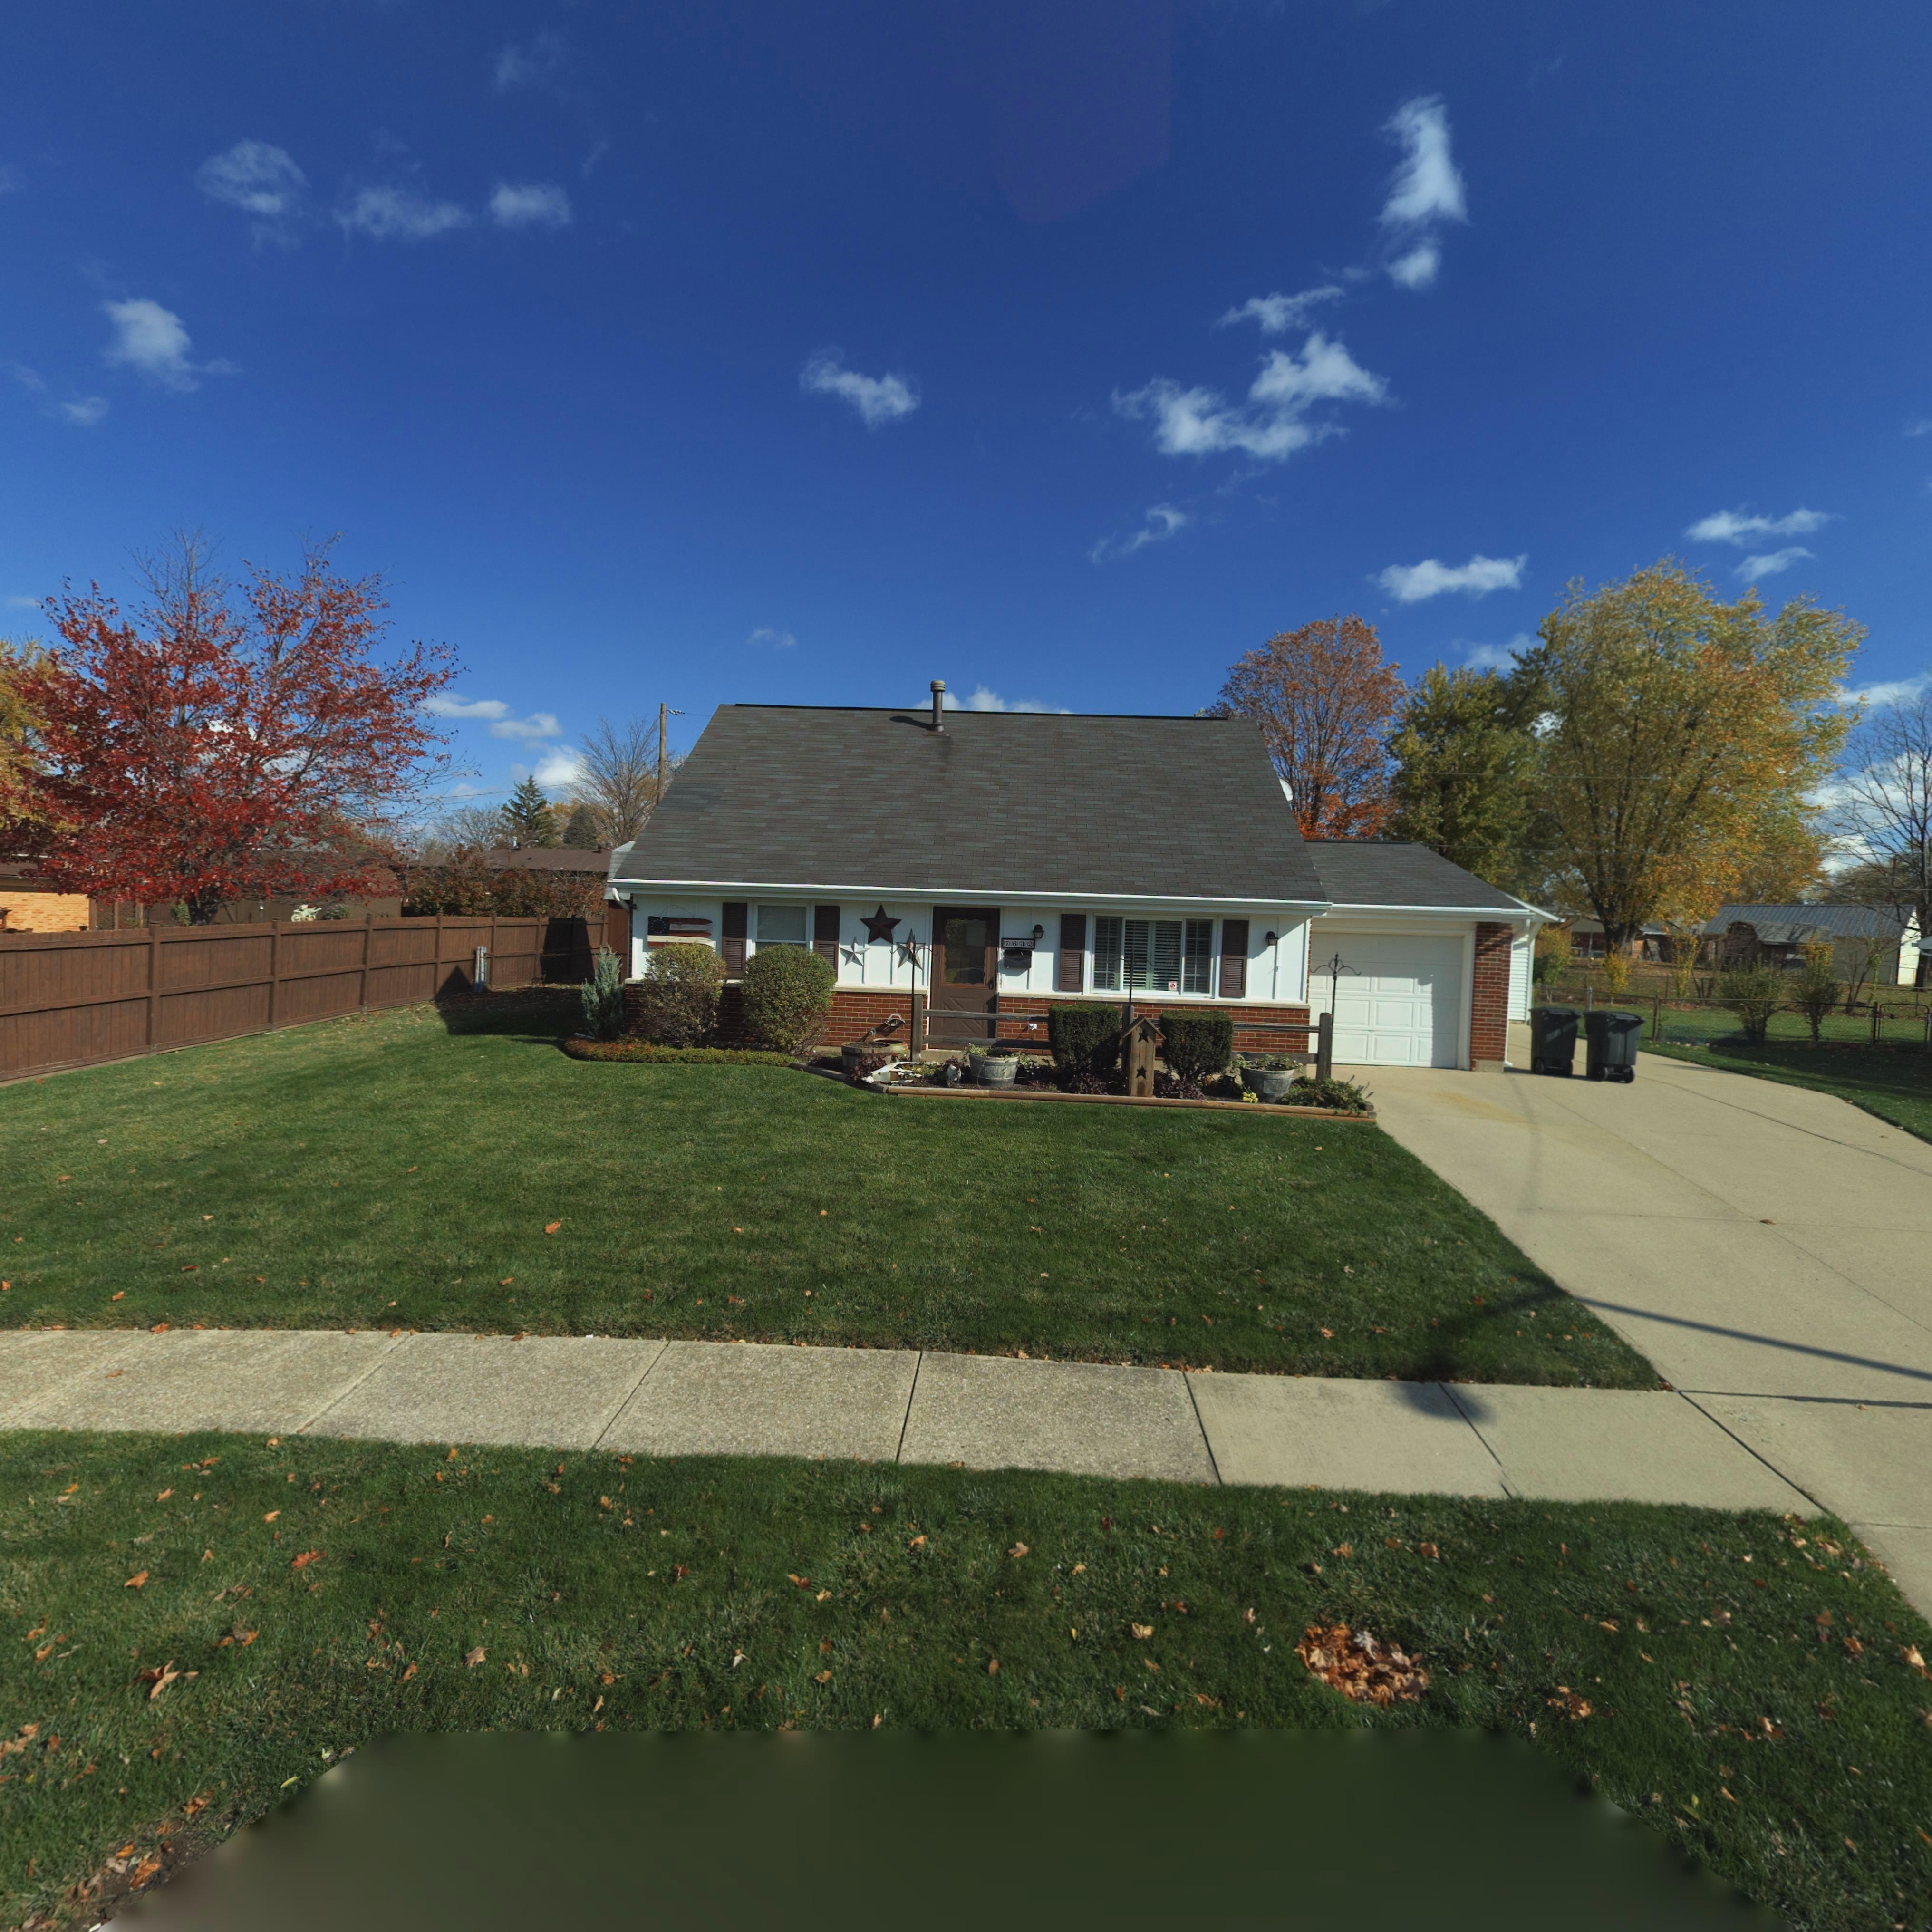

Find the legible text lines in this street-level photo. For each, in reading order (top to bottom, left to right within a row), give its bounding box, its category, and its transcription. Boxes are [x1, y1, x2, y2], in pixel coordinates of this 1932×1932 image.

[1005, 940, 1033, 947] StreetNumber: 7632